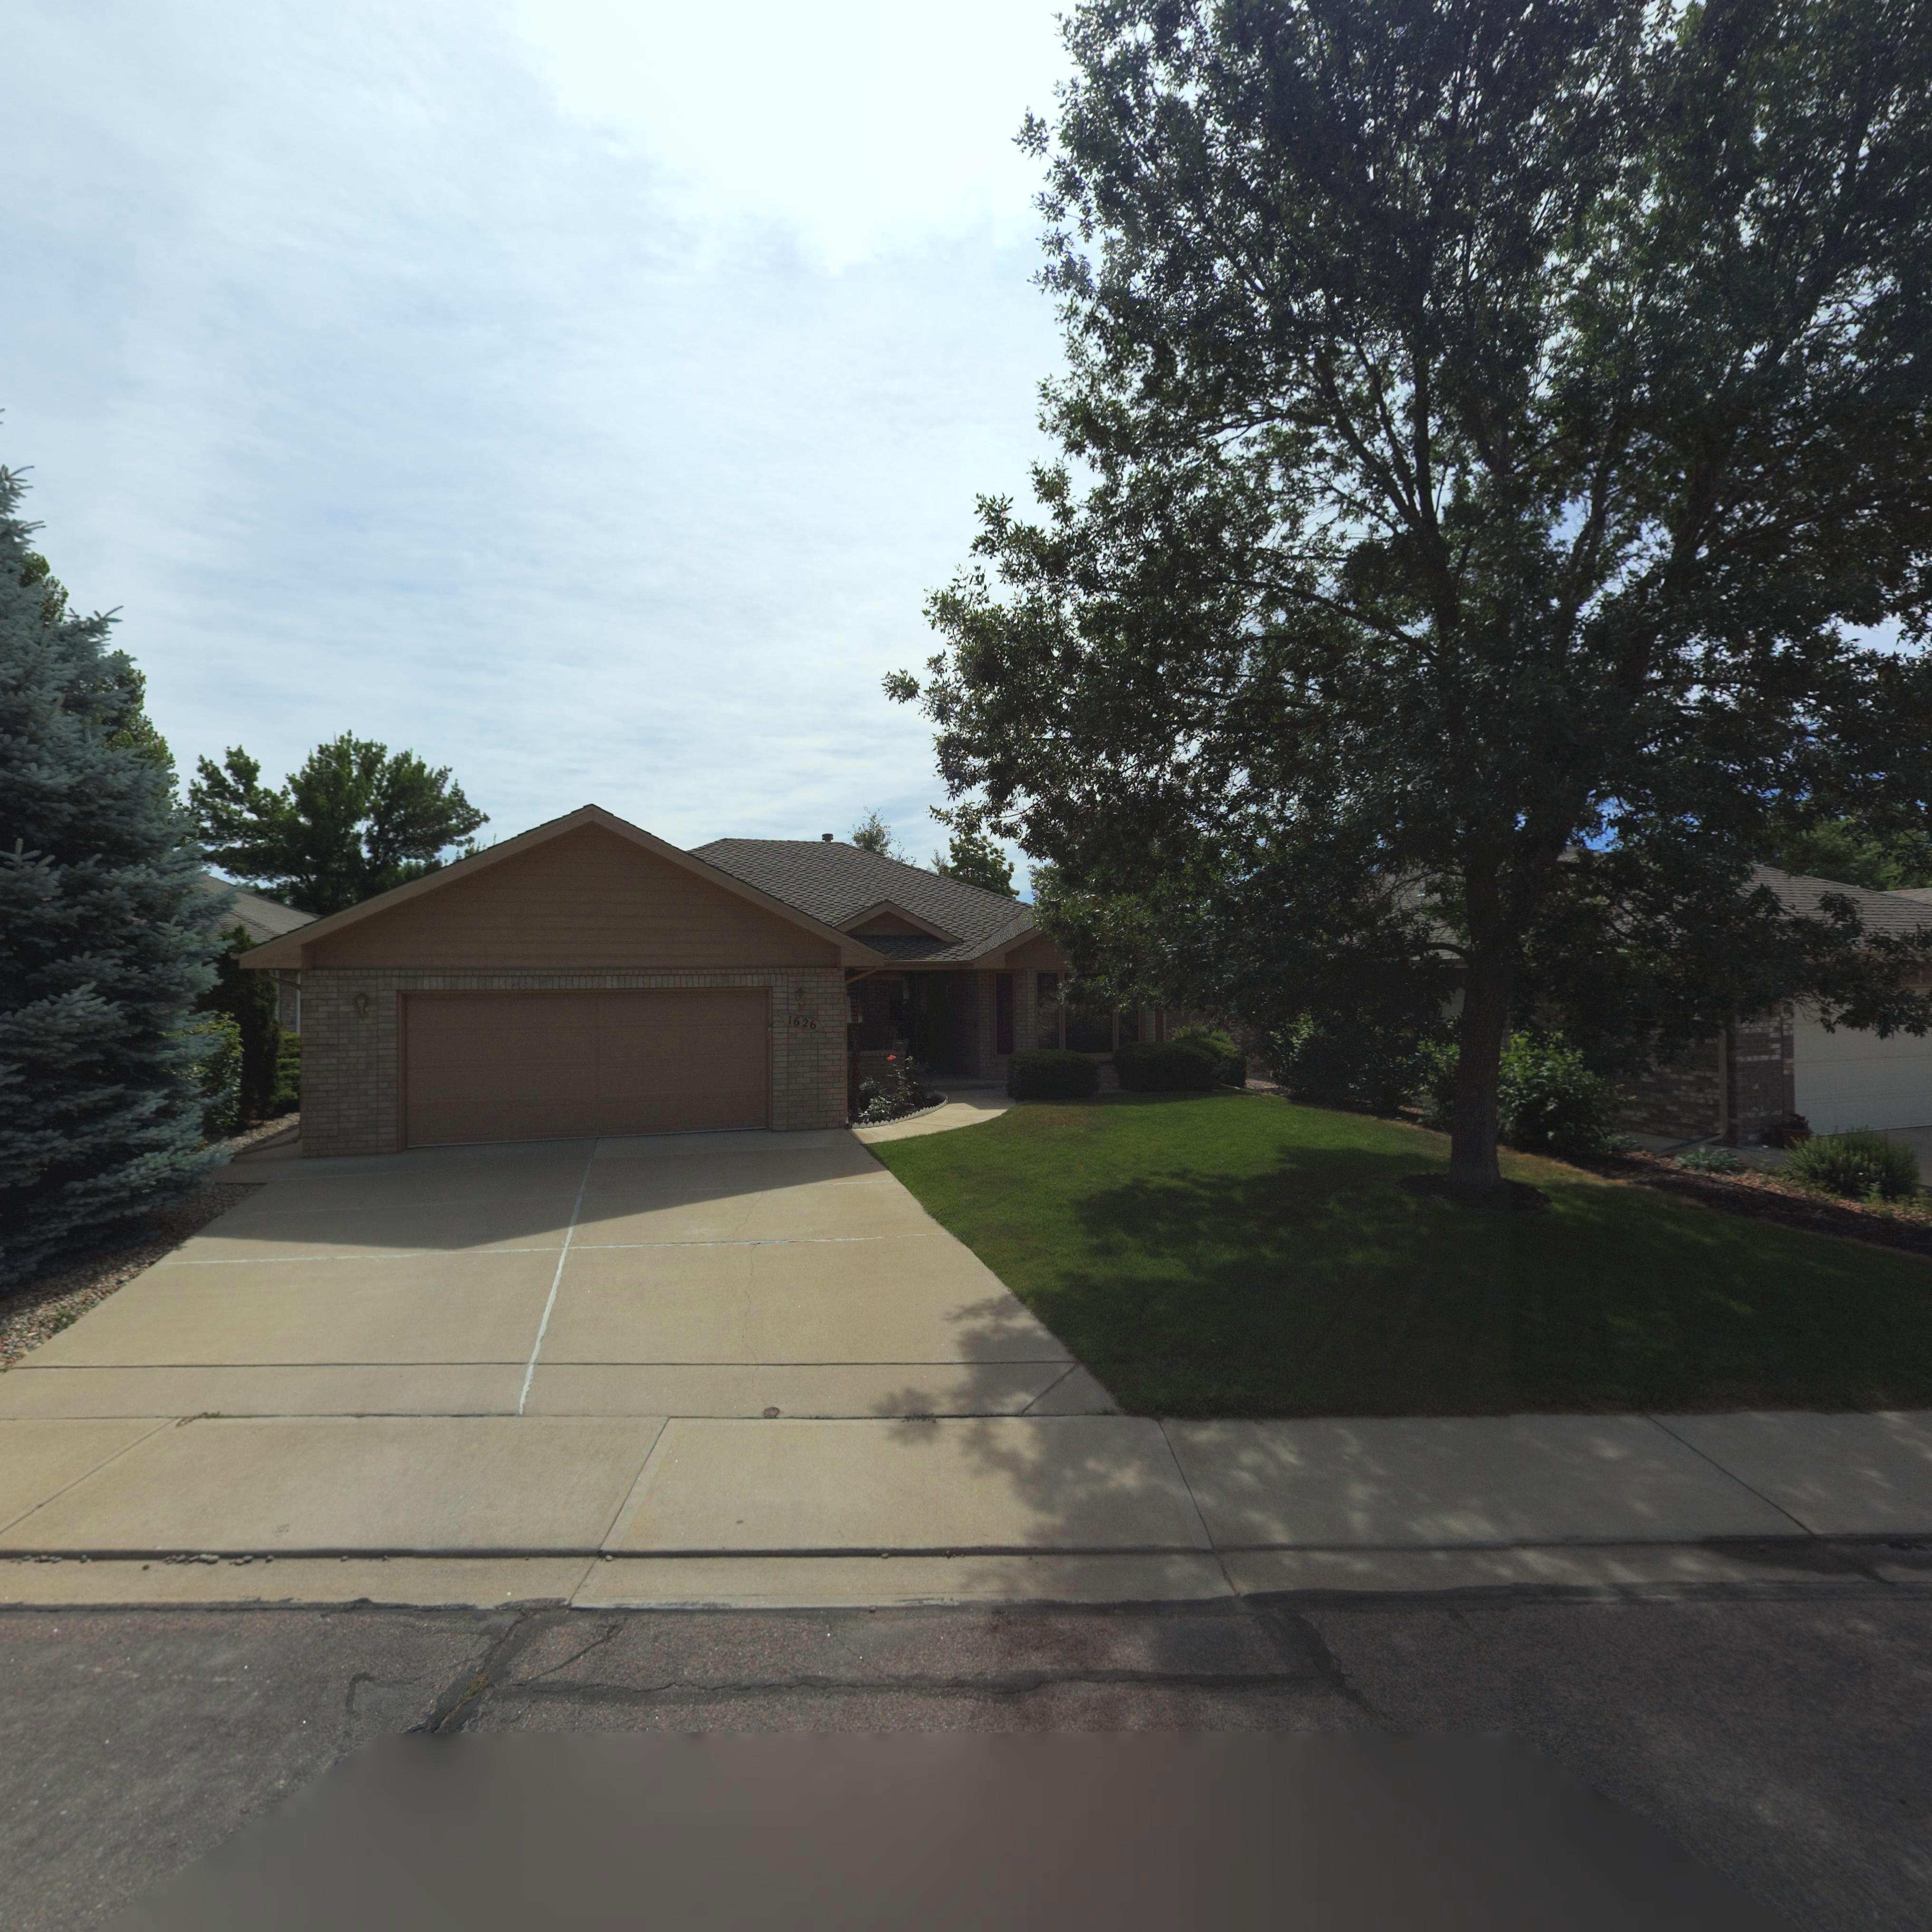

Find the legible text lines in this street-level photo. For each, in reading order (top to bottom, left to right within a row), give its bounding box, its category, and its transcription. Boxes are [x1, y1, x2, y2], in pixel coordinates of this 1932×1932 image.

[788, 1015, 817, 1030] StreetNumber: 1626